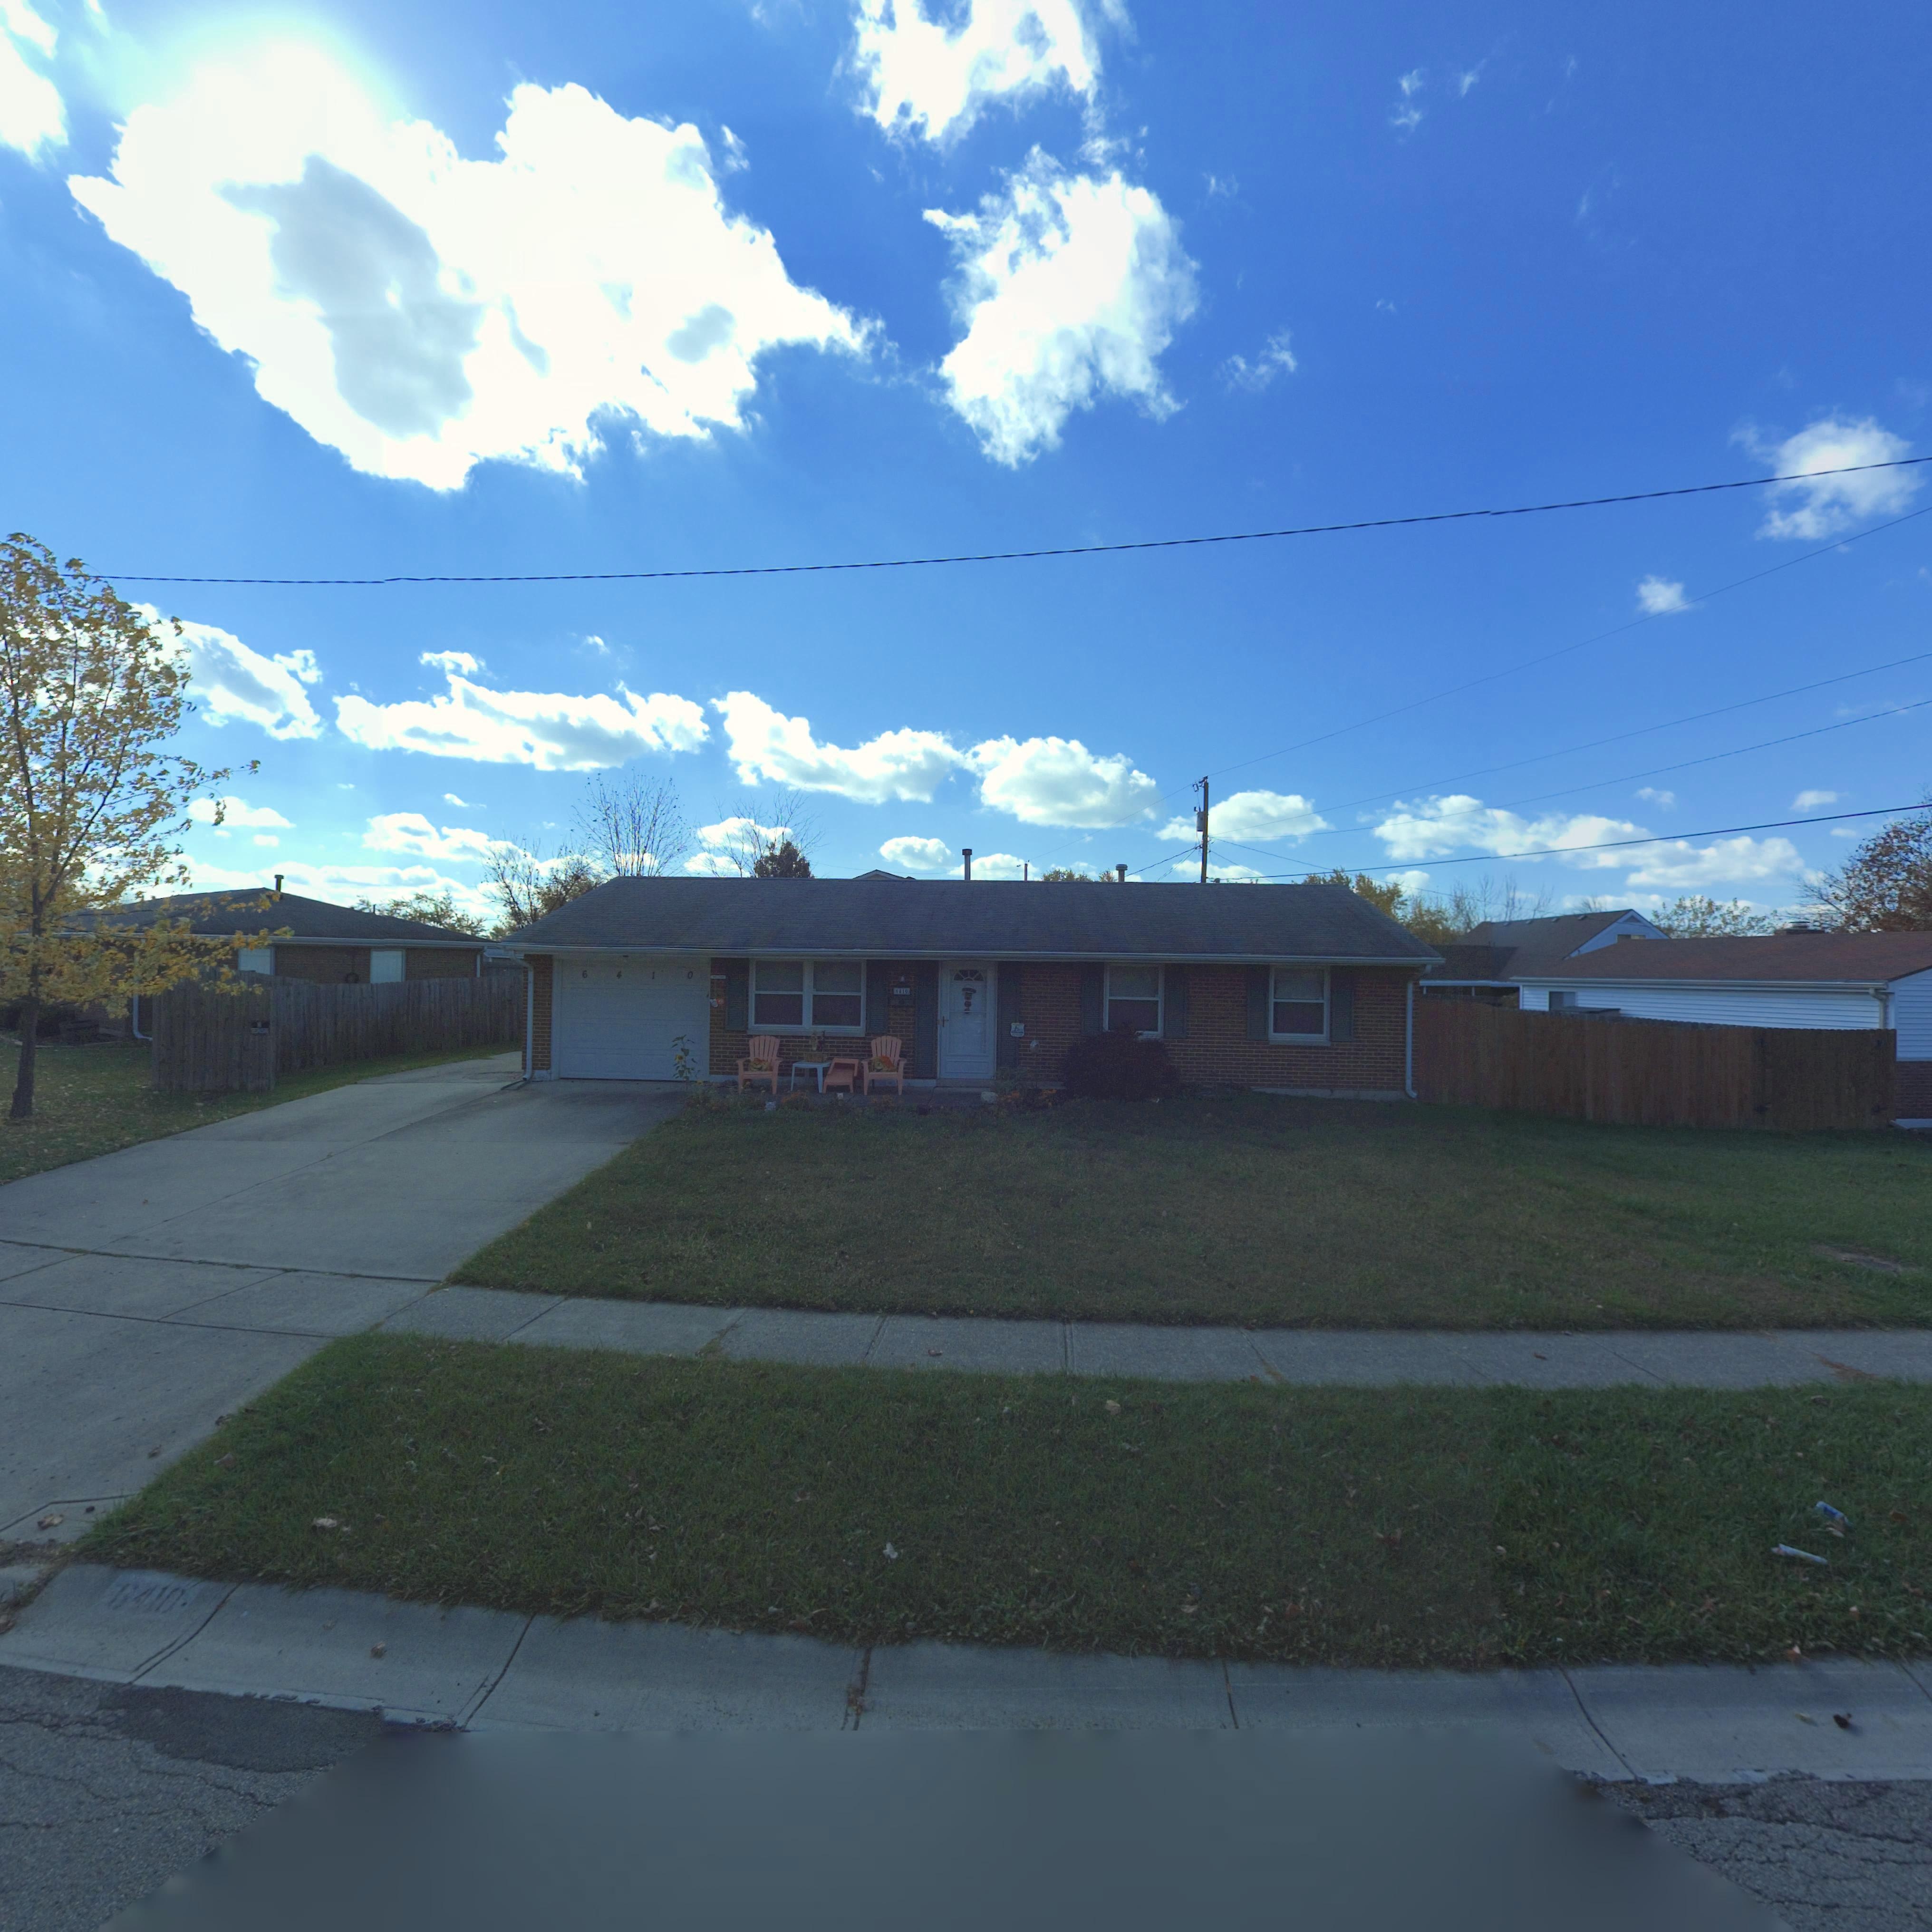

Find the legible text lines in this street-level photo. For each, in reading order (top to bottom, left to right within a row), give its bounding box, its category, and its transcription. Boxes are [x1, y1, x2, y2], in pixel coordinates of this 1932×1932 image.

[581, 969, 694, 980] StreetNumber: 6410
[894, 988, 908, 994] StreetNumber: 6410